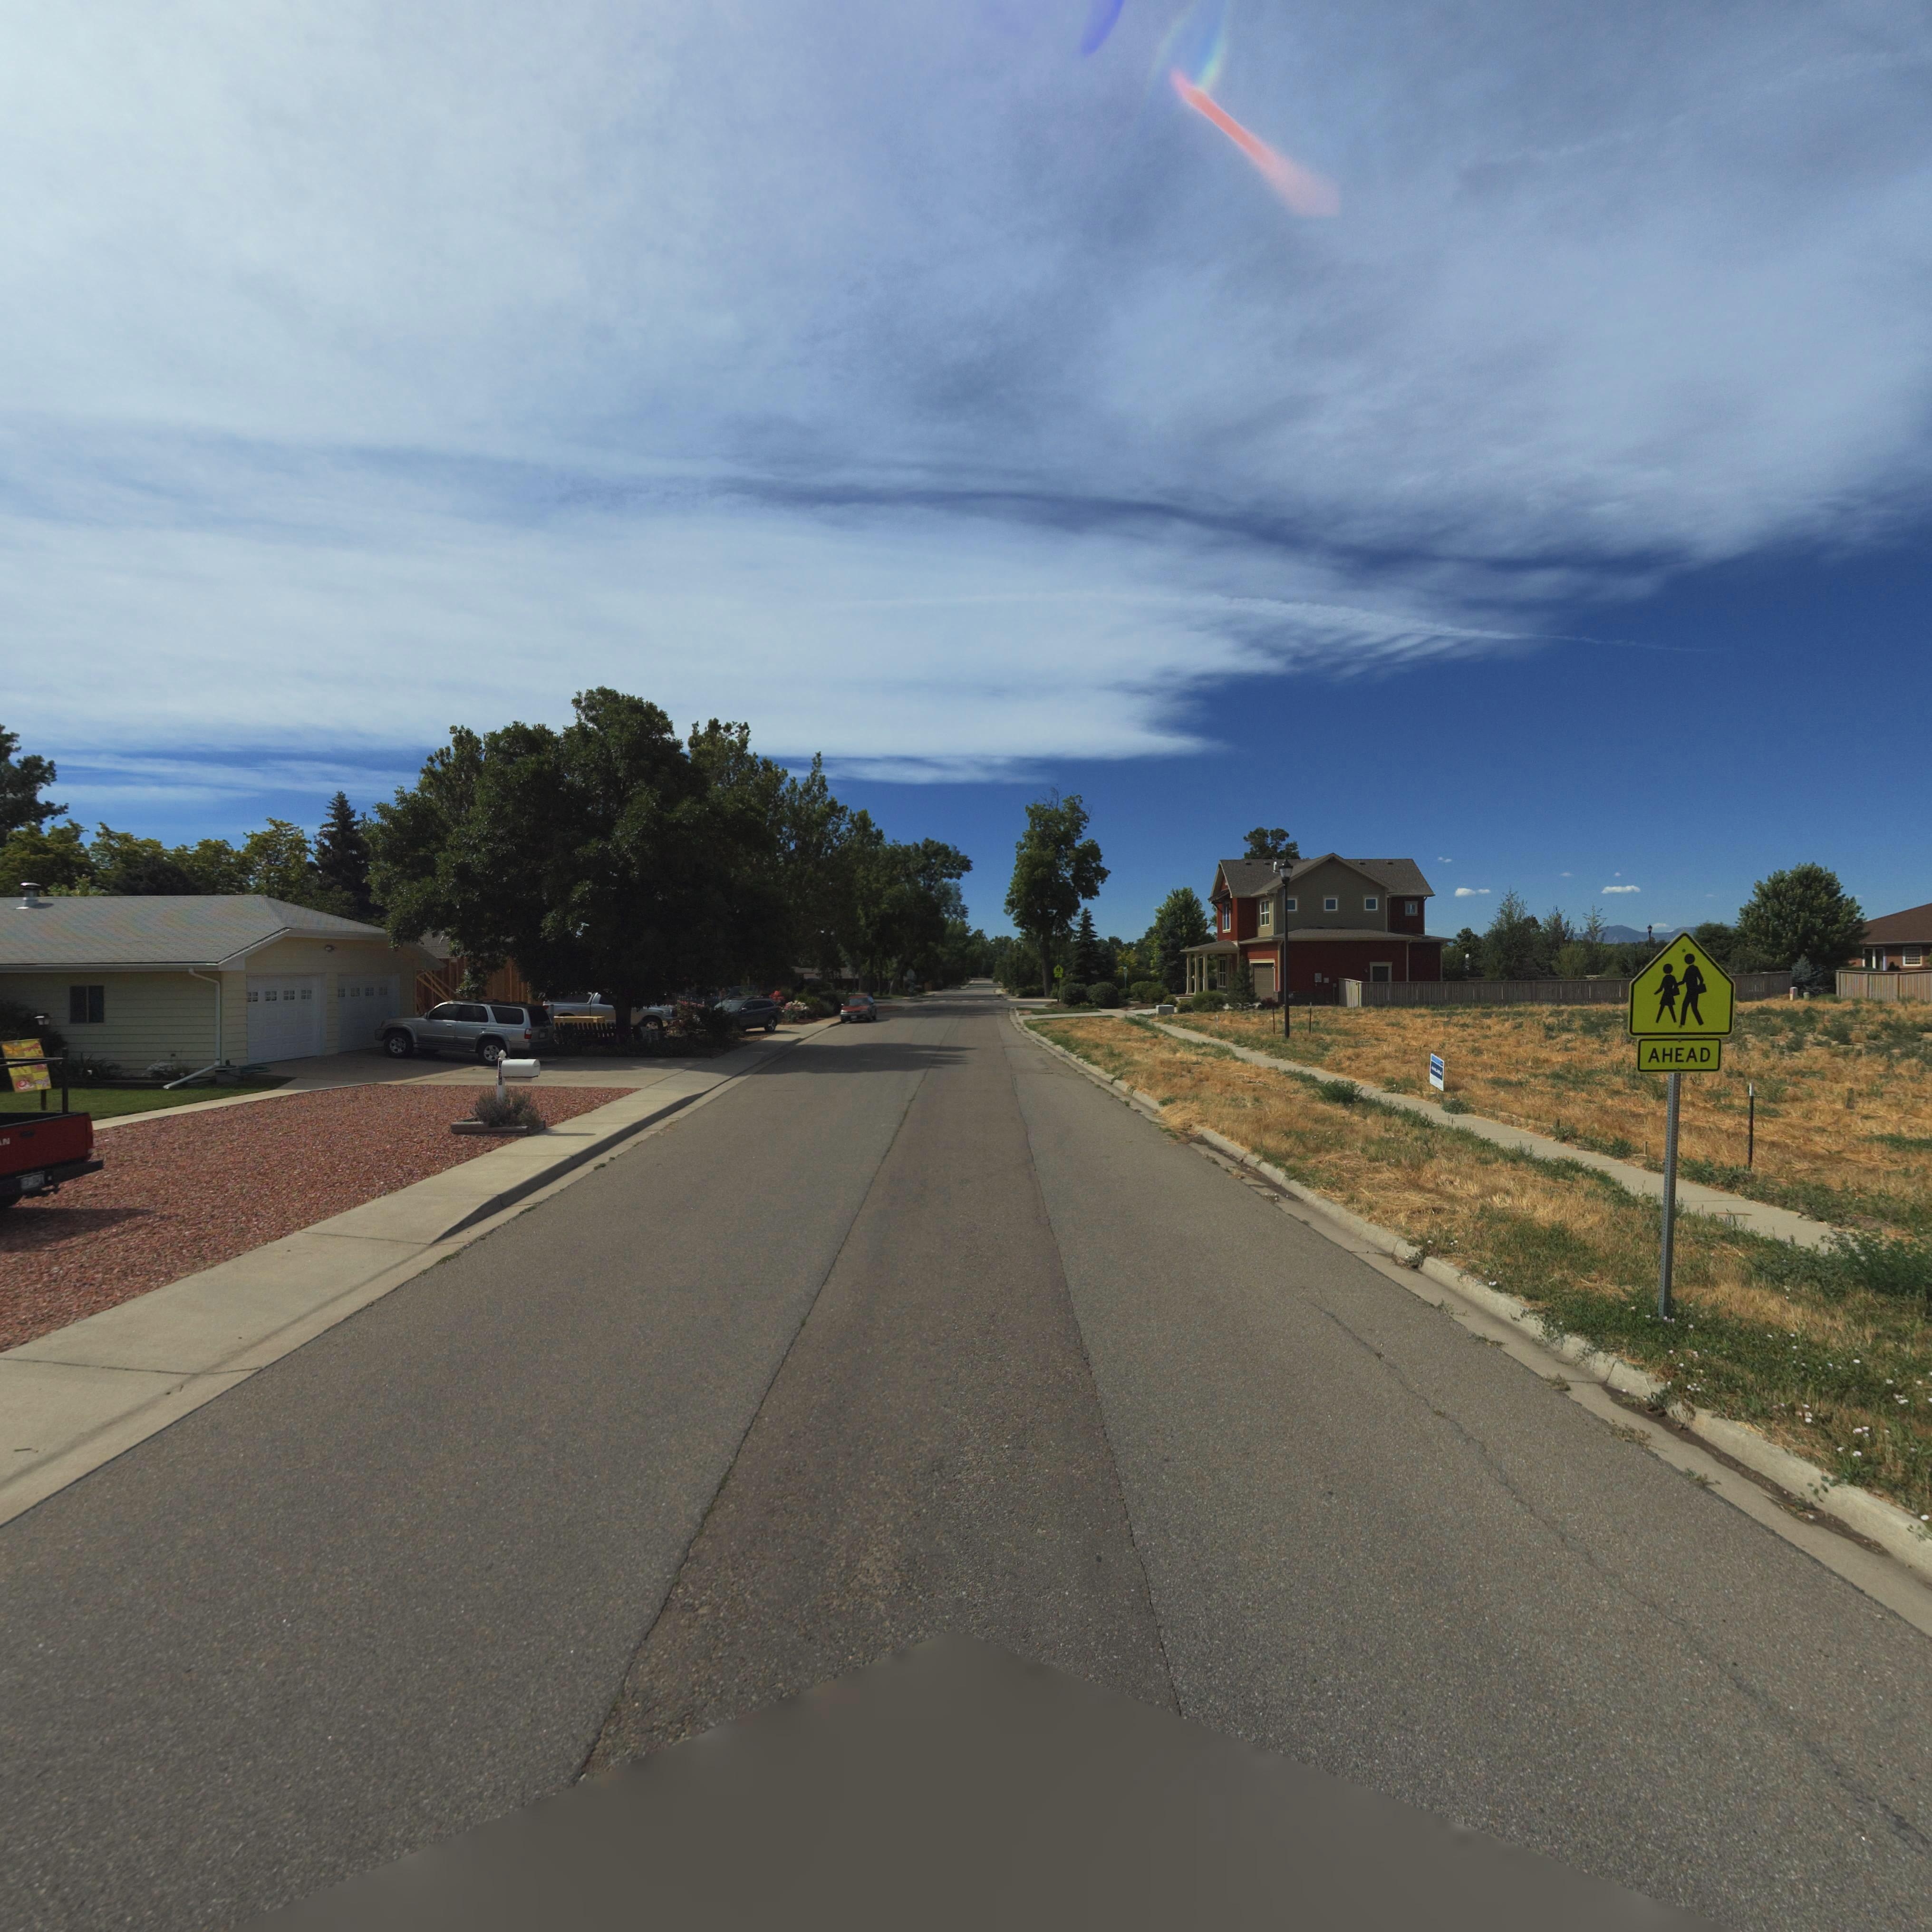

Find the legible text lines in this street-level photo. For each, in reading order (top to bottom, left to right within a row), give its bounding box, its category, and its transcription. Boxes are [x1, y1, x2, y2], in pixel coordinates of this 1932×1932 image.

[498, 1061, 502, 1084] StreetNumber: 1*16